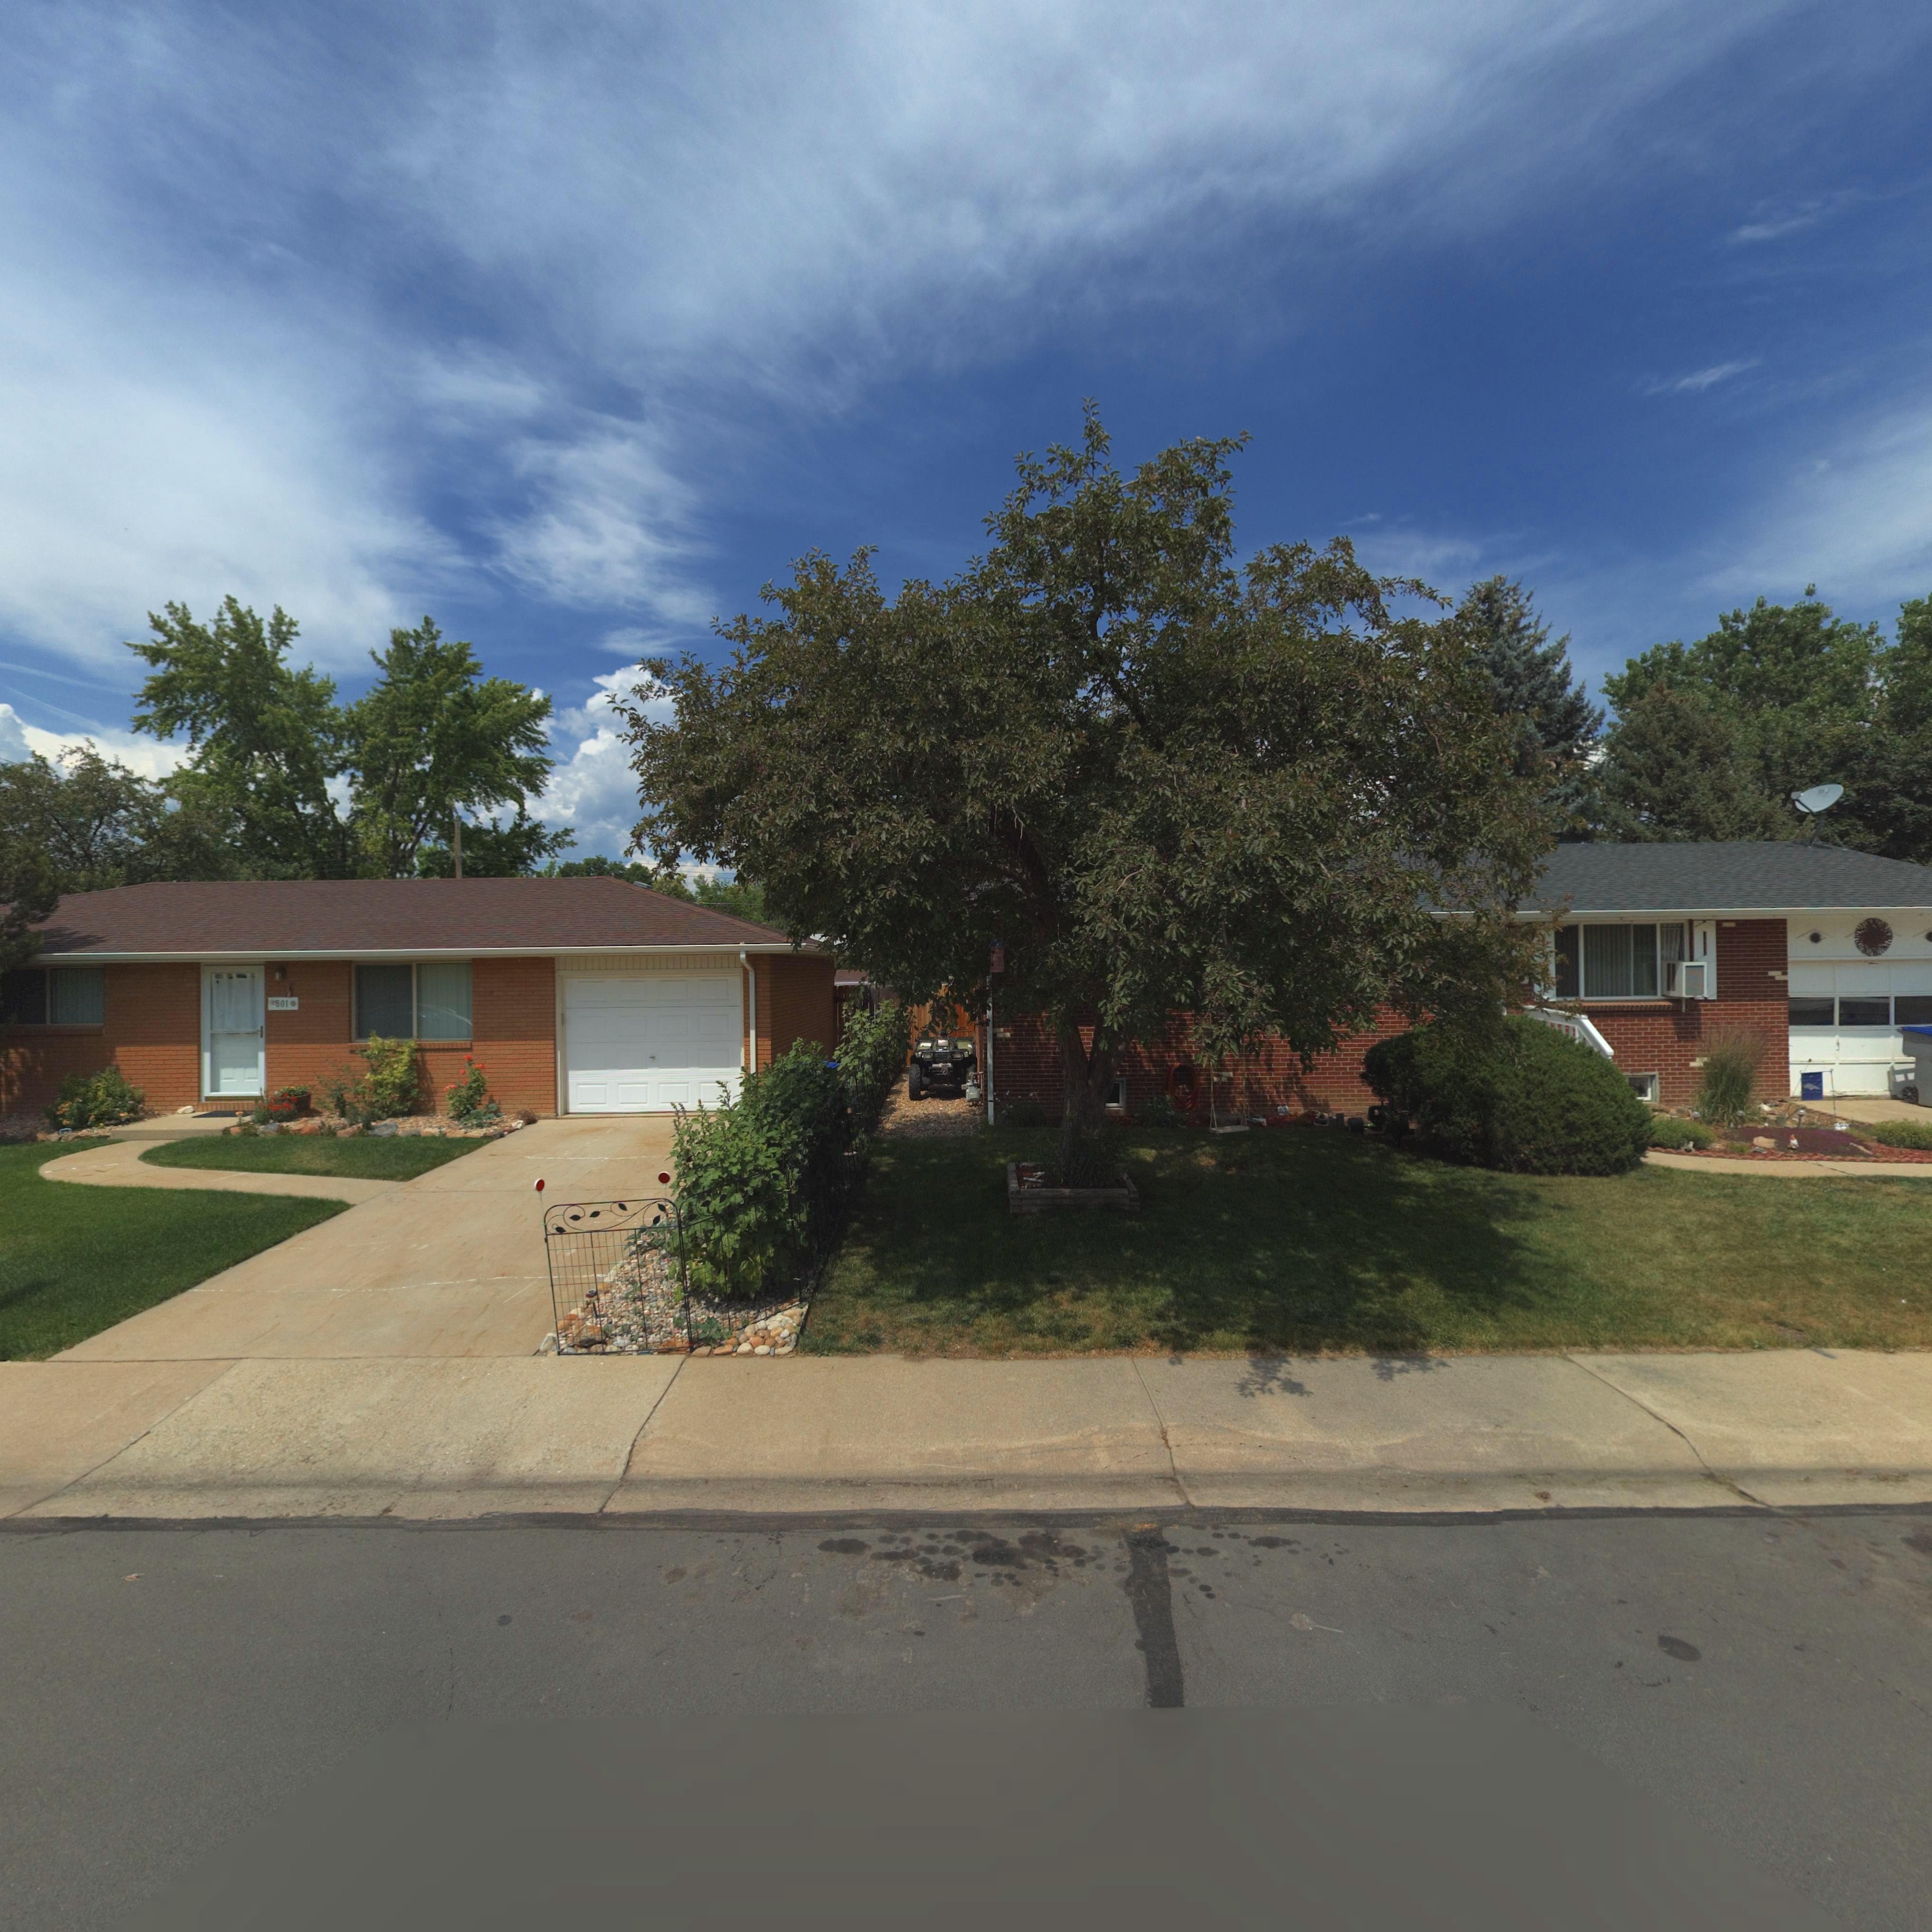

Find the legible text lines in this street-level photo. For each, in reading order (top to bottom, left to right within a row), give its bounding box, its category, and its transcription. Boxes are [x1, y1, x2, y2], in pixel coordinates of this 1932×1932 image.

[275, 1000, 288, 1007] StreetNumber: 801